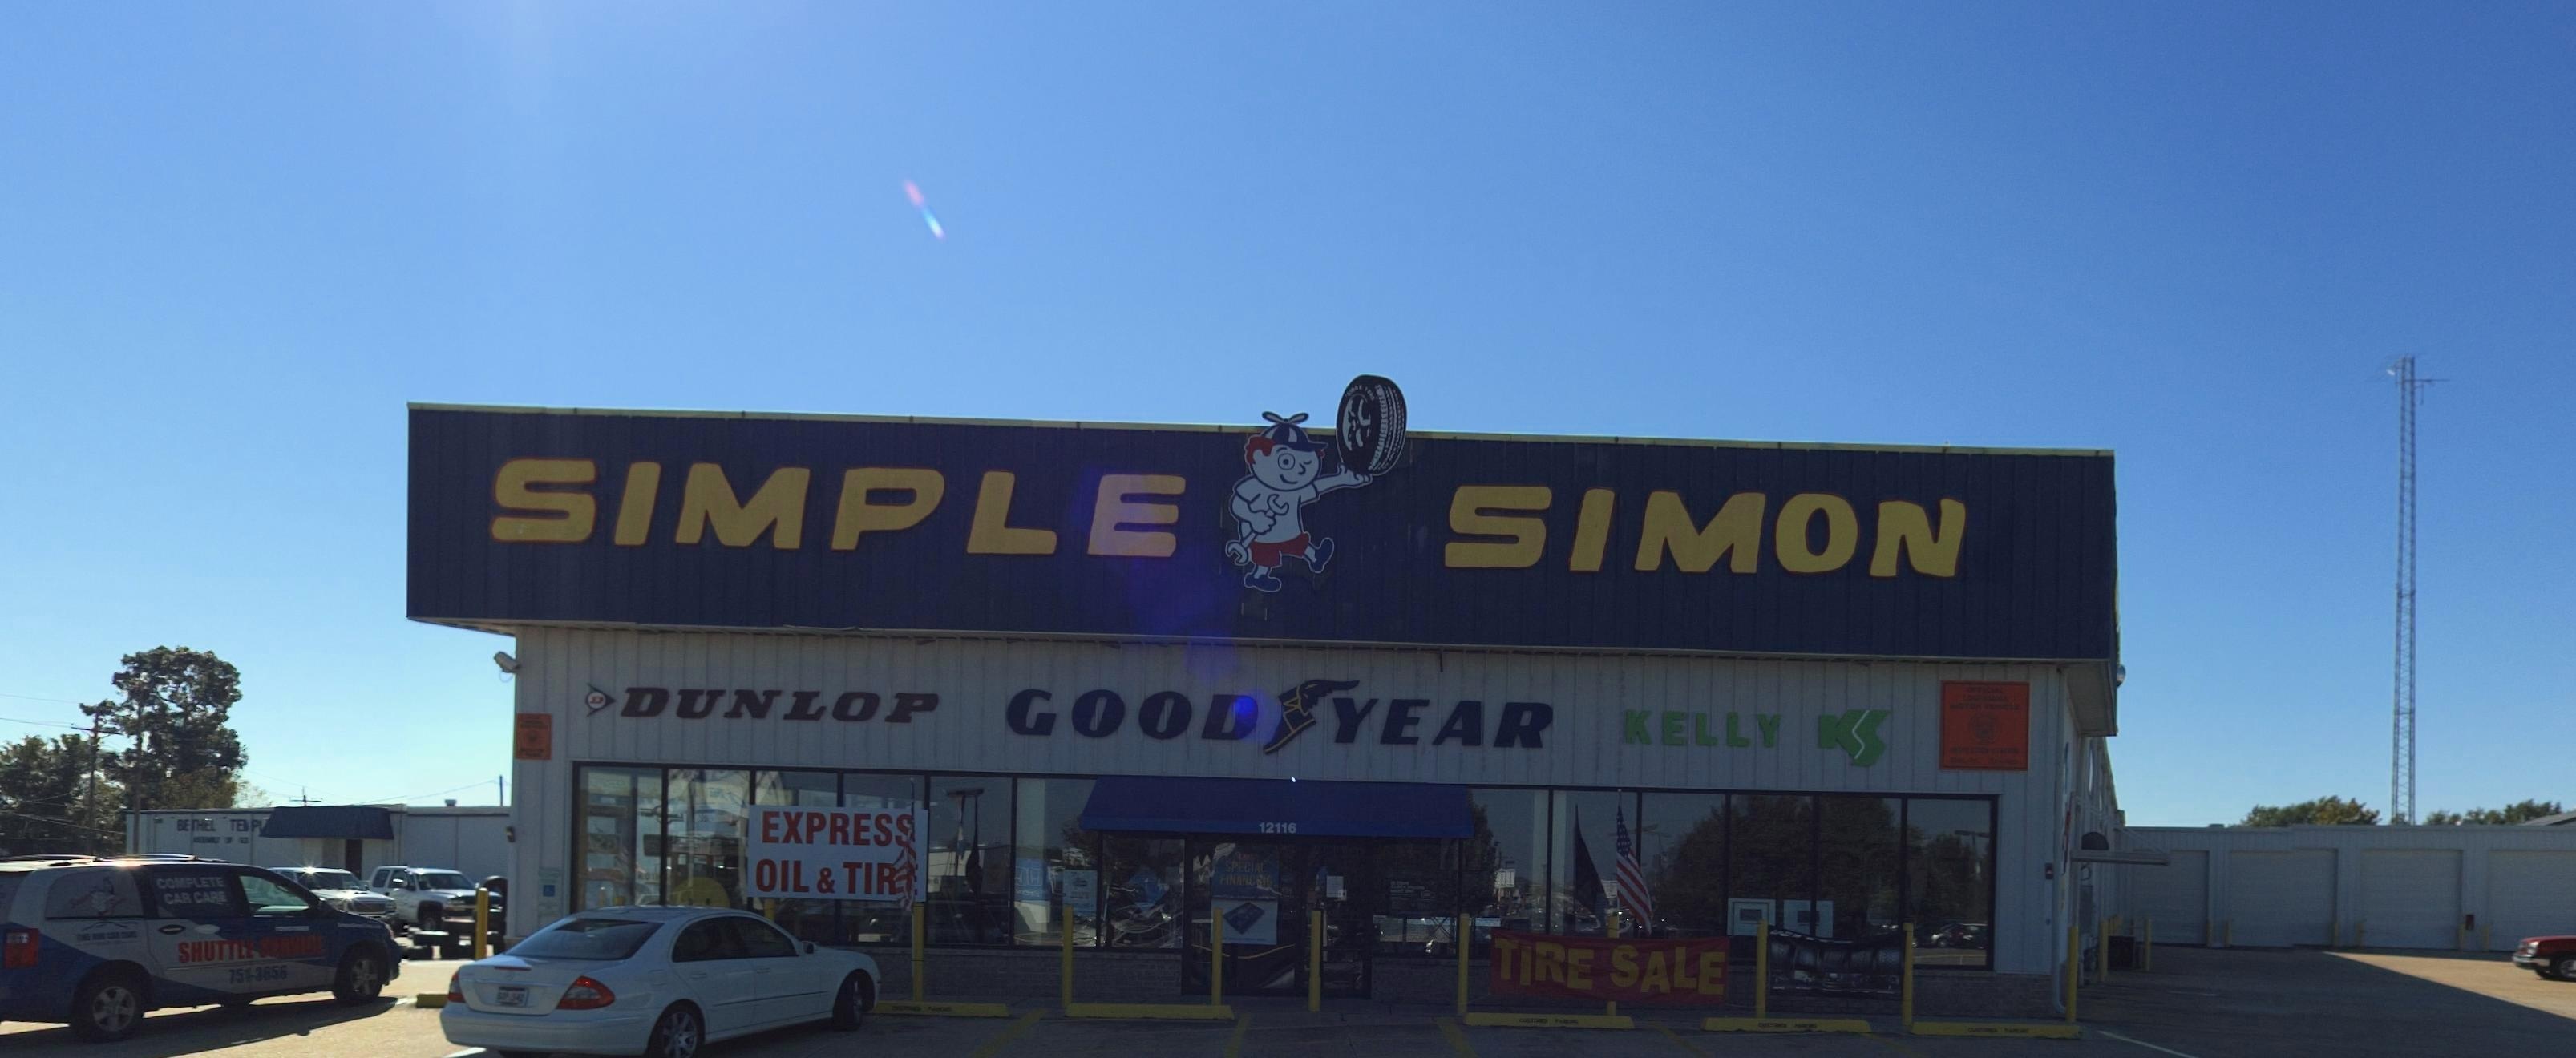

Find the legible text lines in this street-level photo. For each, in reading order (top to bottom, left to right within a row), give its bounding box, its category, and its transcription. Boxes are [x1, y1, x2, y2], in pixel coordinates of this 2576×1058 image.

[483, 448, 1979, 588] BusinessName: SIMPLE * SIMON
[588, 694, 606, 706] None: D
[615, 684, 944, 726] None: DUNLOP
[1000, 685, 1559, 753] None: GOOD * YEAR
[1622, 705, 1897, 771] None: KELLY K
[176, 818, 191, 833] None: BE
[227, 818, 245, 834] None: TE
[759, 808, 917, 850] None: EXPERS*
[1256, 820, 1299, 836] None: 12116
[152, 874, 227, 892] None: COMPLETE
[754, 857, 900, 898] None: OIL & TIR
[1223, 858, 1268, 874] None: SPECIAL
[1219, 873, 1275, 889] None: FINANC*IG
[161, 889, 230, 907] None: CAR CARE
[176, 936, 255, 966] None: SHUTTLE 
[227, 963, 289, 987] None: 751-36**
[1492, 935, 1727, 998] None: TIRE SALE